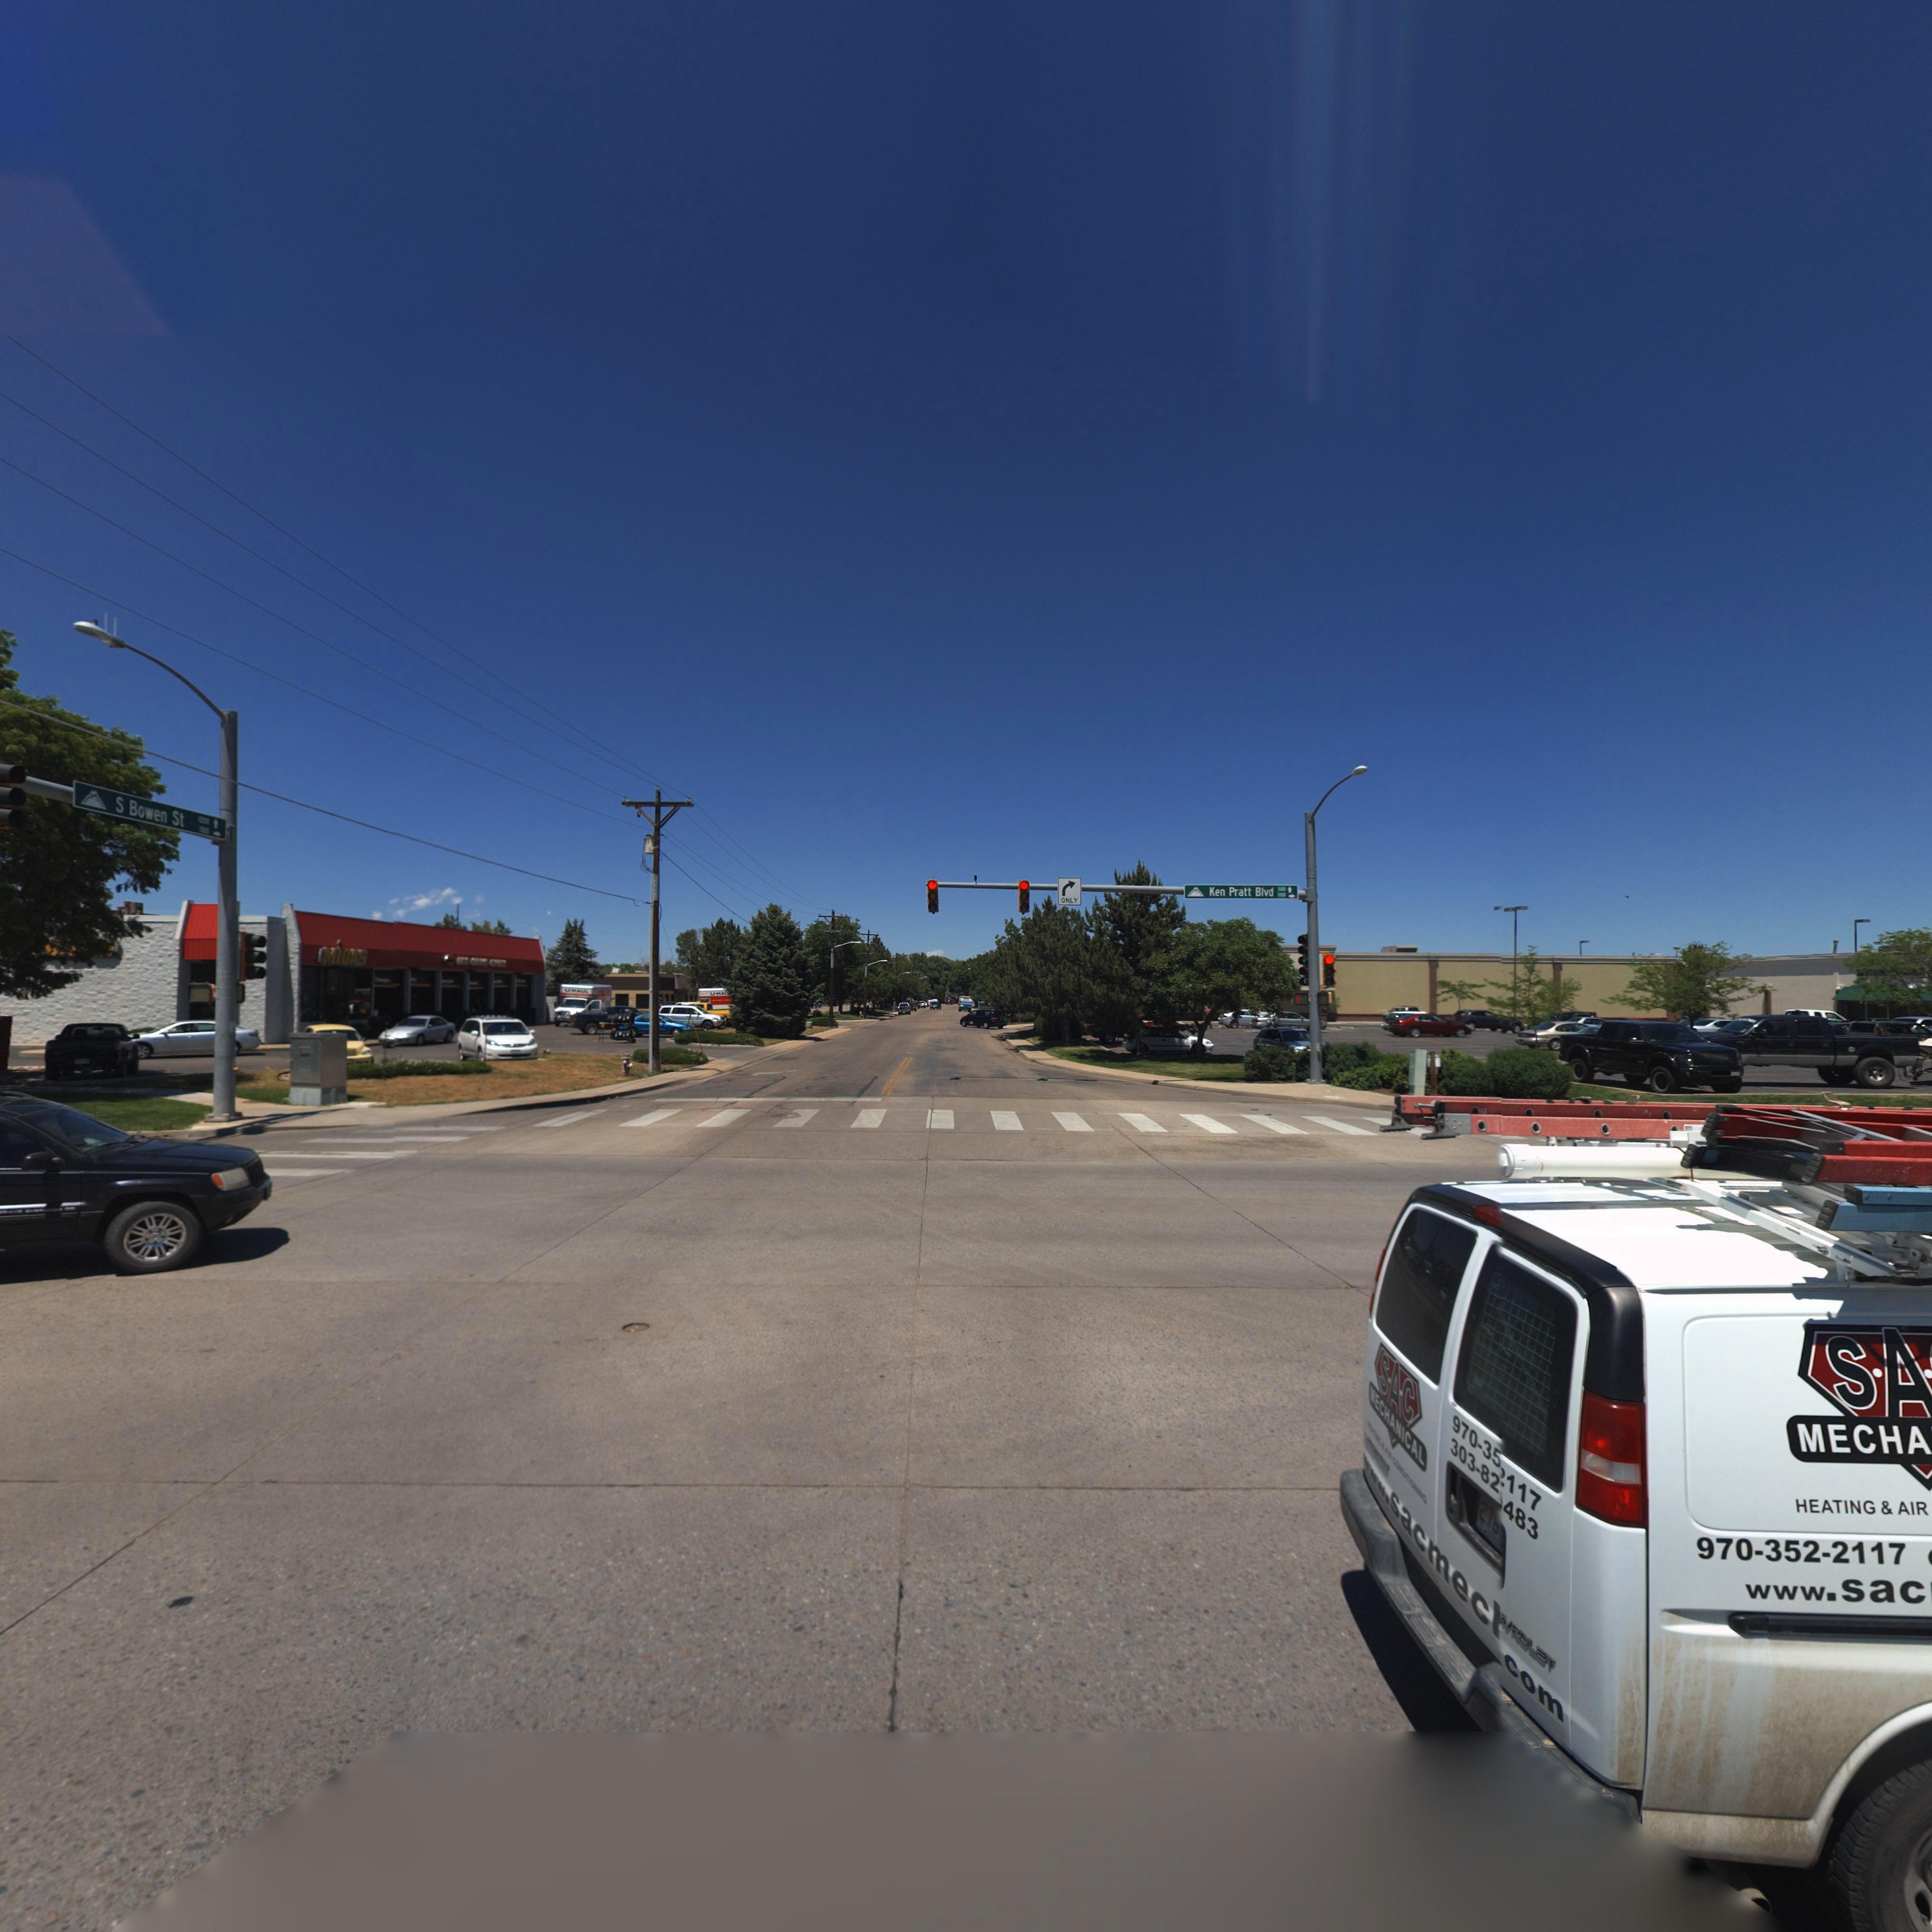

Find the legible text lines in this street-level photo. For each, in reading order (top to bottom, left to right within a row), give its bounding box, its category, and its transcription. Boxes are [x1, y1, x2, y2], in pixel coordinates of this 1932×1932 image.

[115, 796, 184, 828] StreetNumber: S Bowen St
[197, 815, 209, 825] StreetNumber: 1200
[199, 825, 222, 837] StreetNumberRange: 500->
[1208, 887, 1274, 897] StreetName: Ken Pratt Blvd
[1277, 886, 1285, 891] StreetNumber: 500
[1277, 893, 1295, 898] StreetName: 1*00->
[321, 939, 369, 966] BusinessName: MiDAS